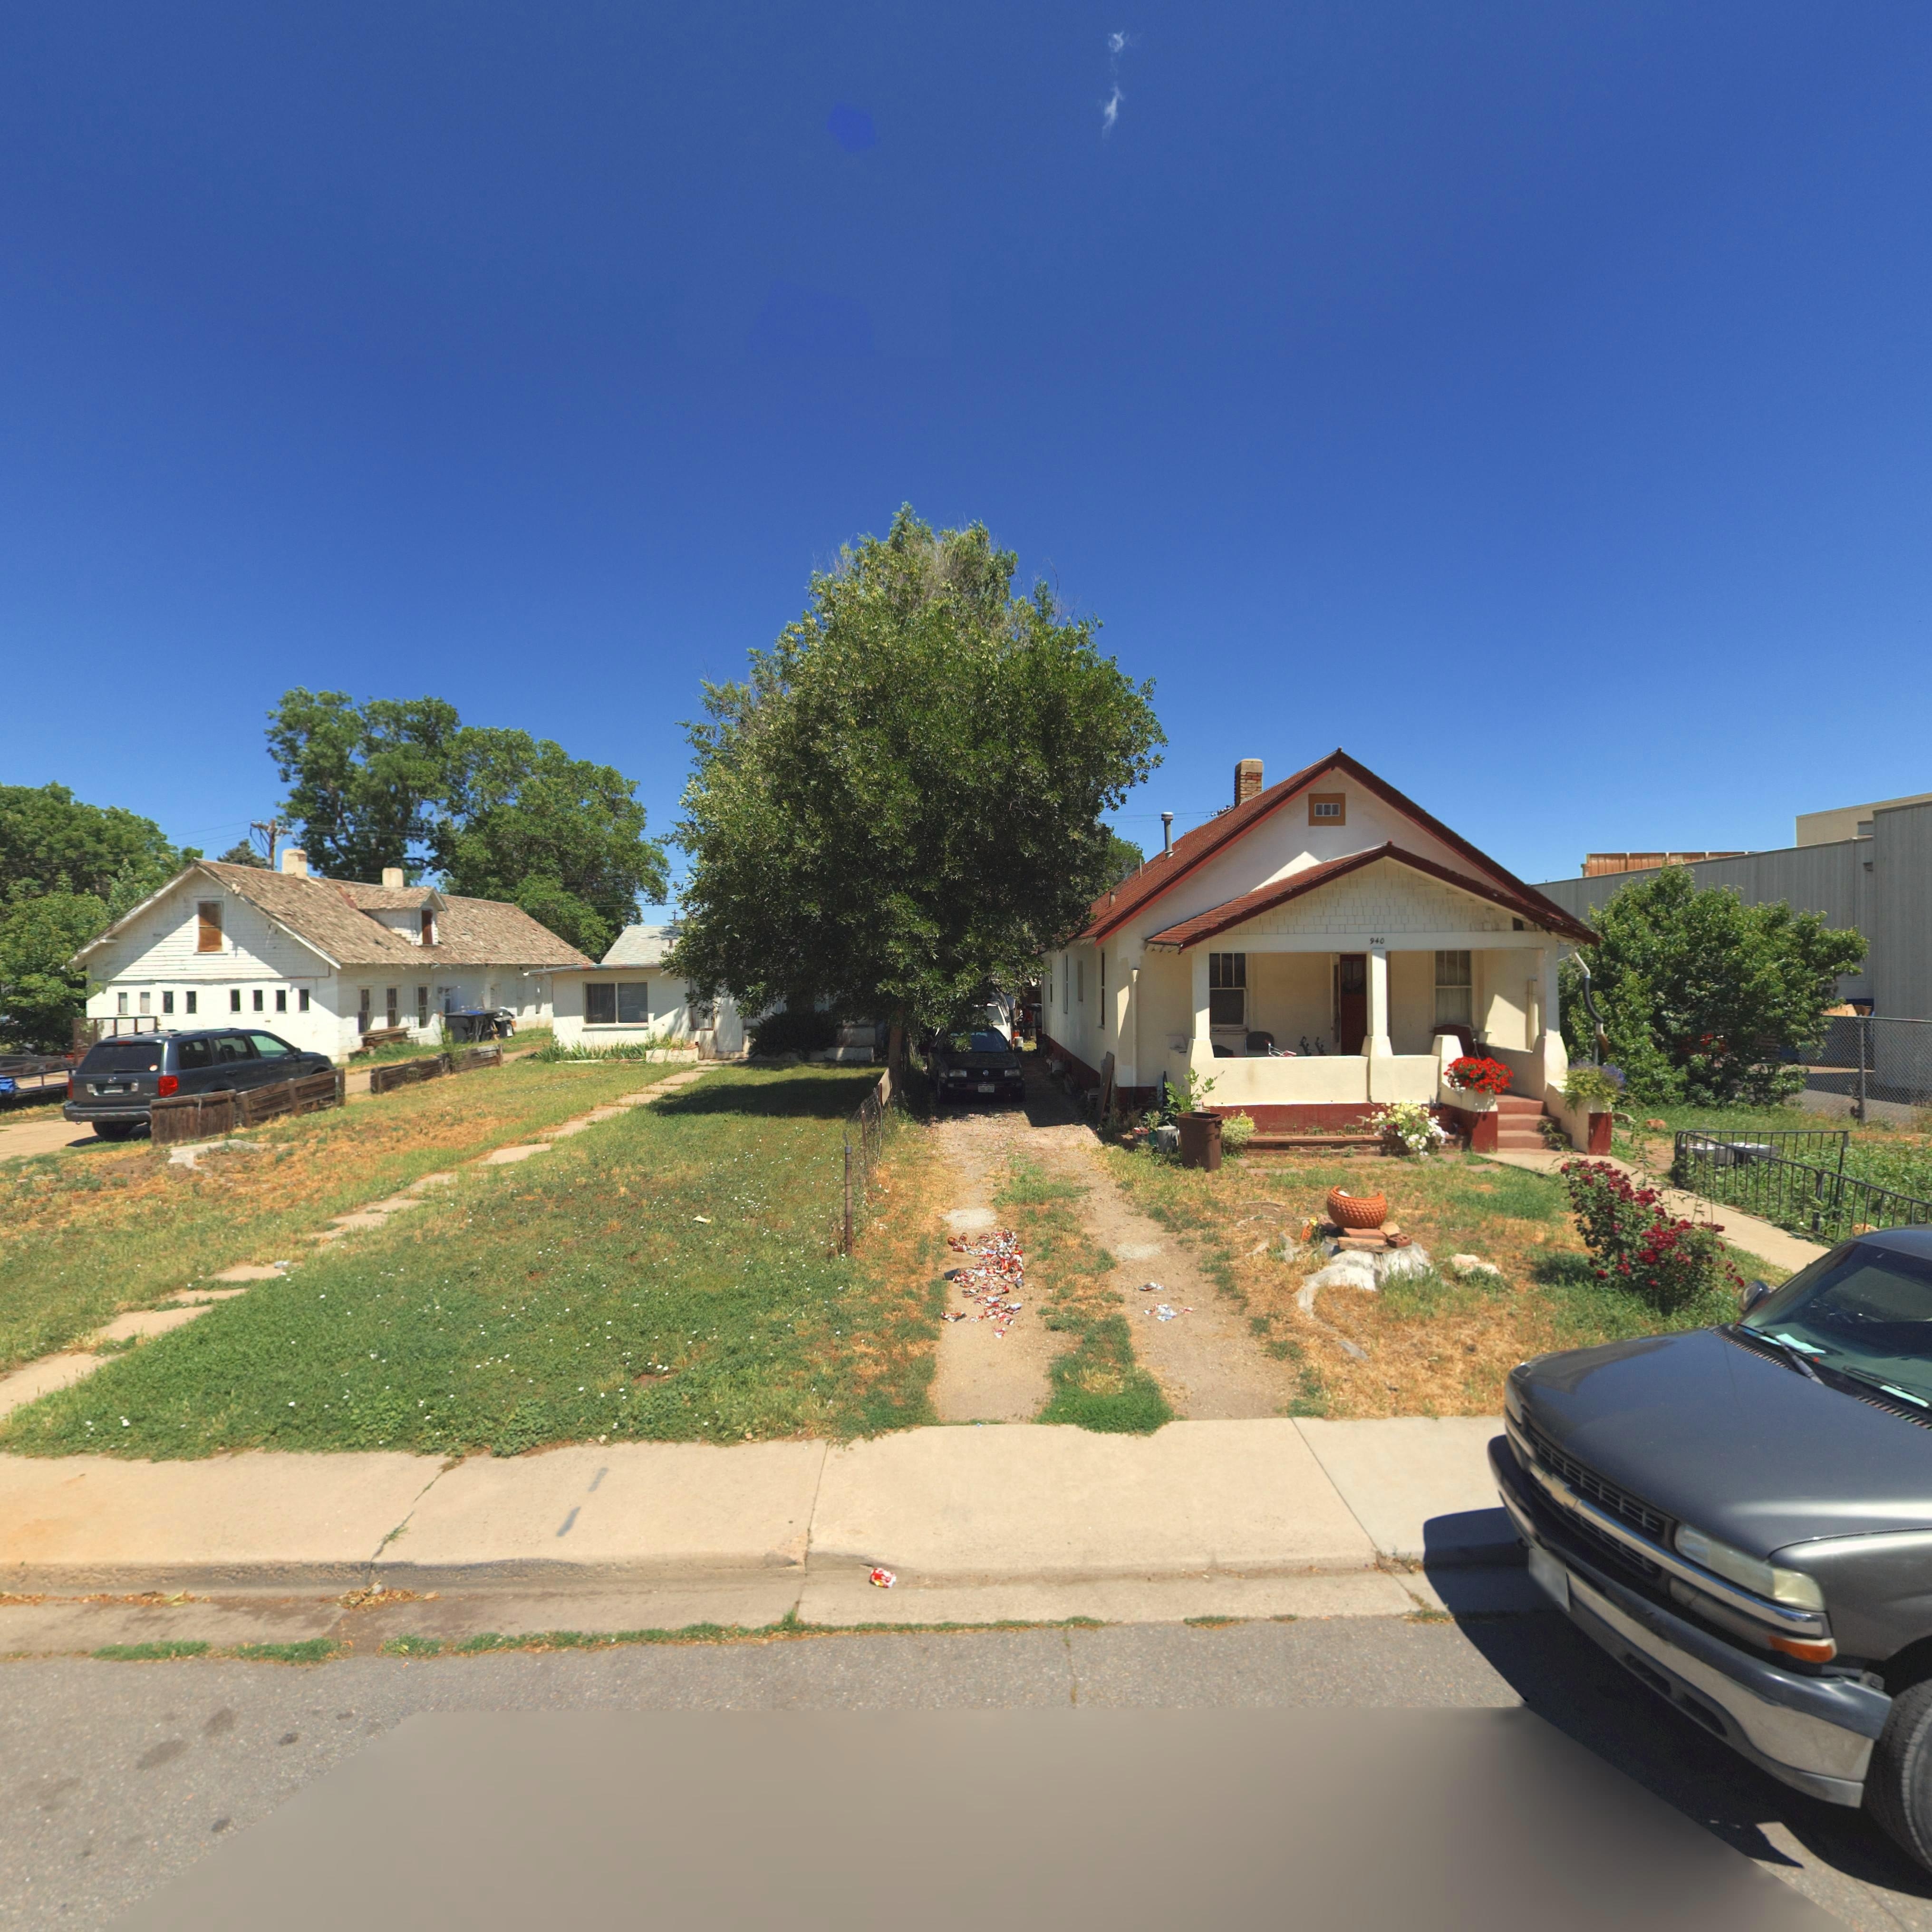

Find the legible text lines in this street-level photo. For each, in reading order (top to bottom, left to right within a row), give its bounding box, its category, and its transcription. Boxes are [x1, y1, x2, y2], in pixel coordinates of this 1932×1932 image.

[1370, 937, 1385, 944] StreetNumber: 940